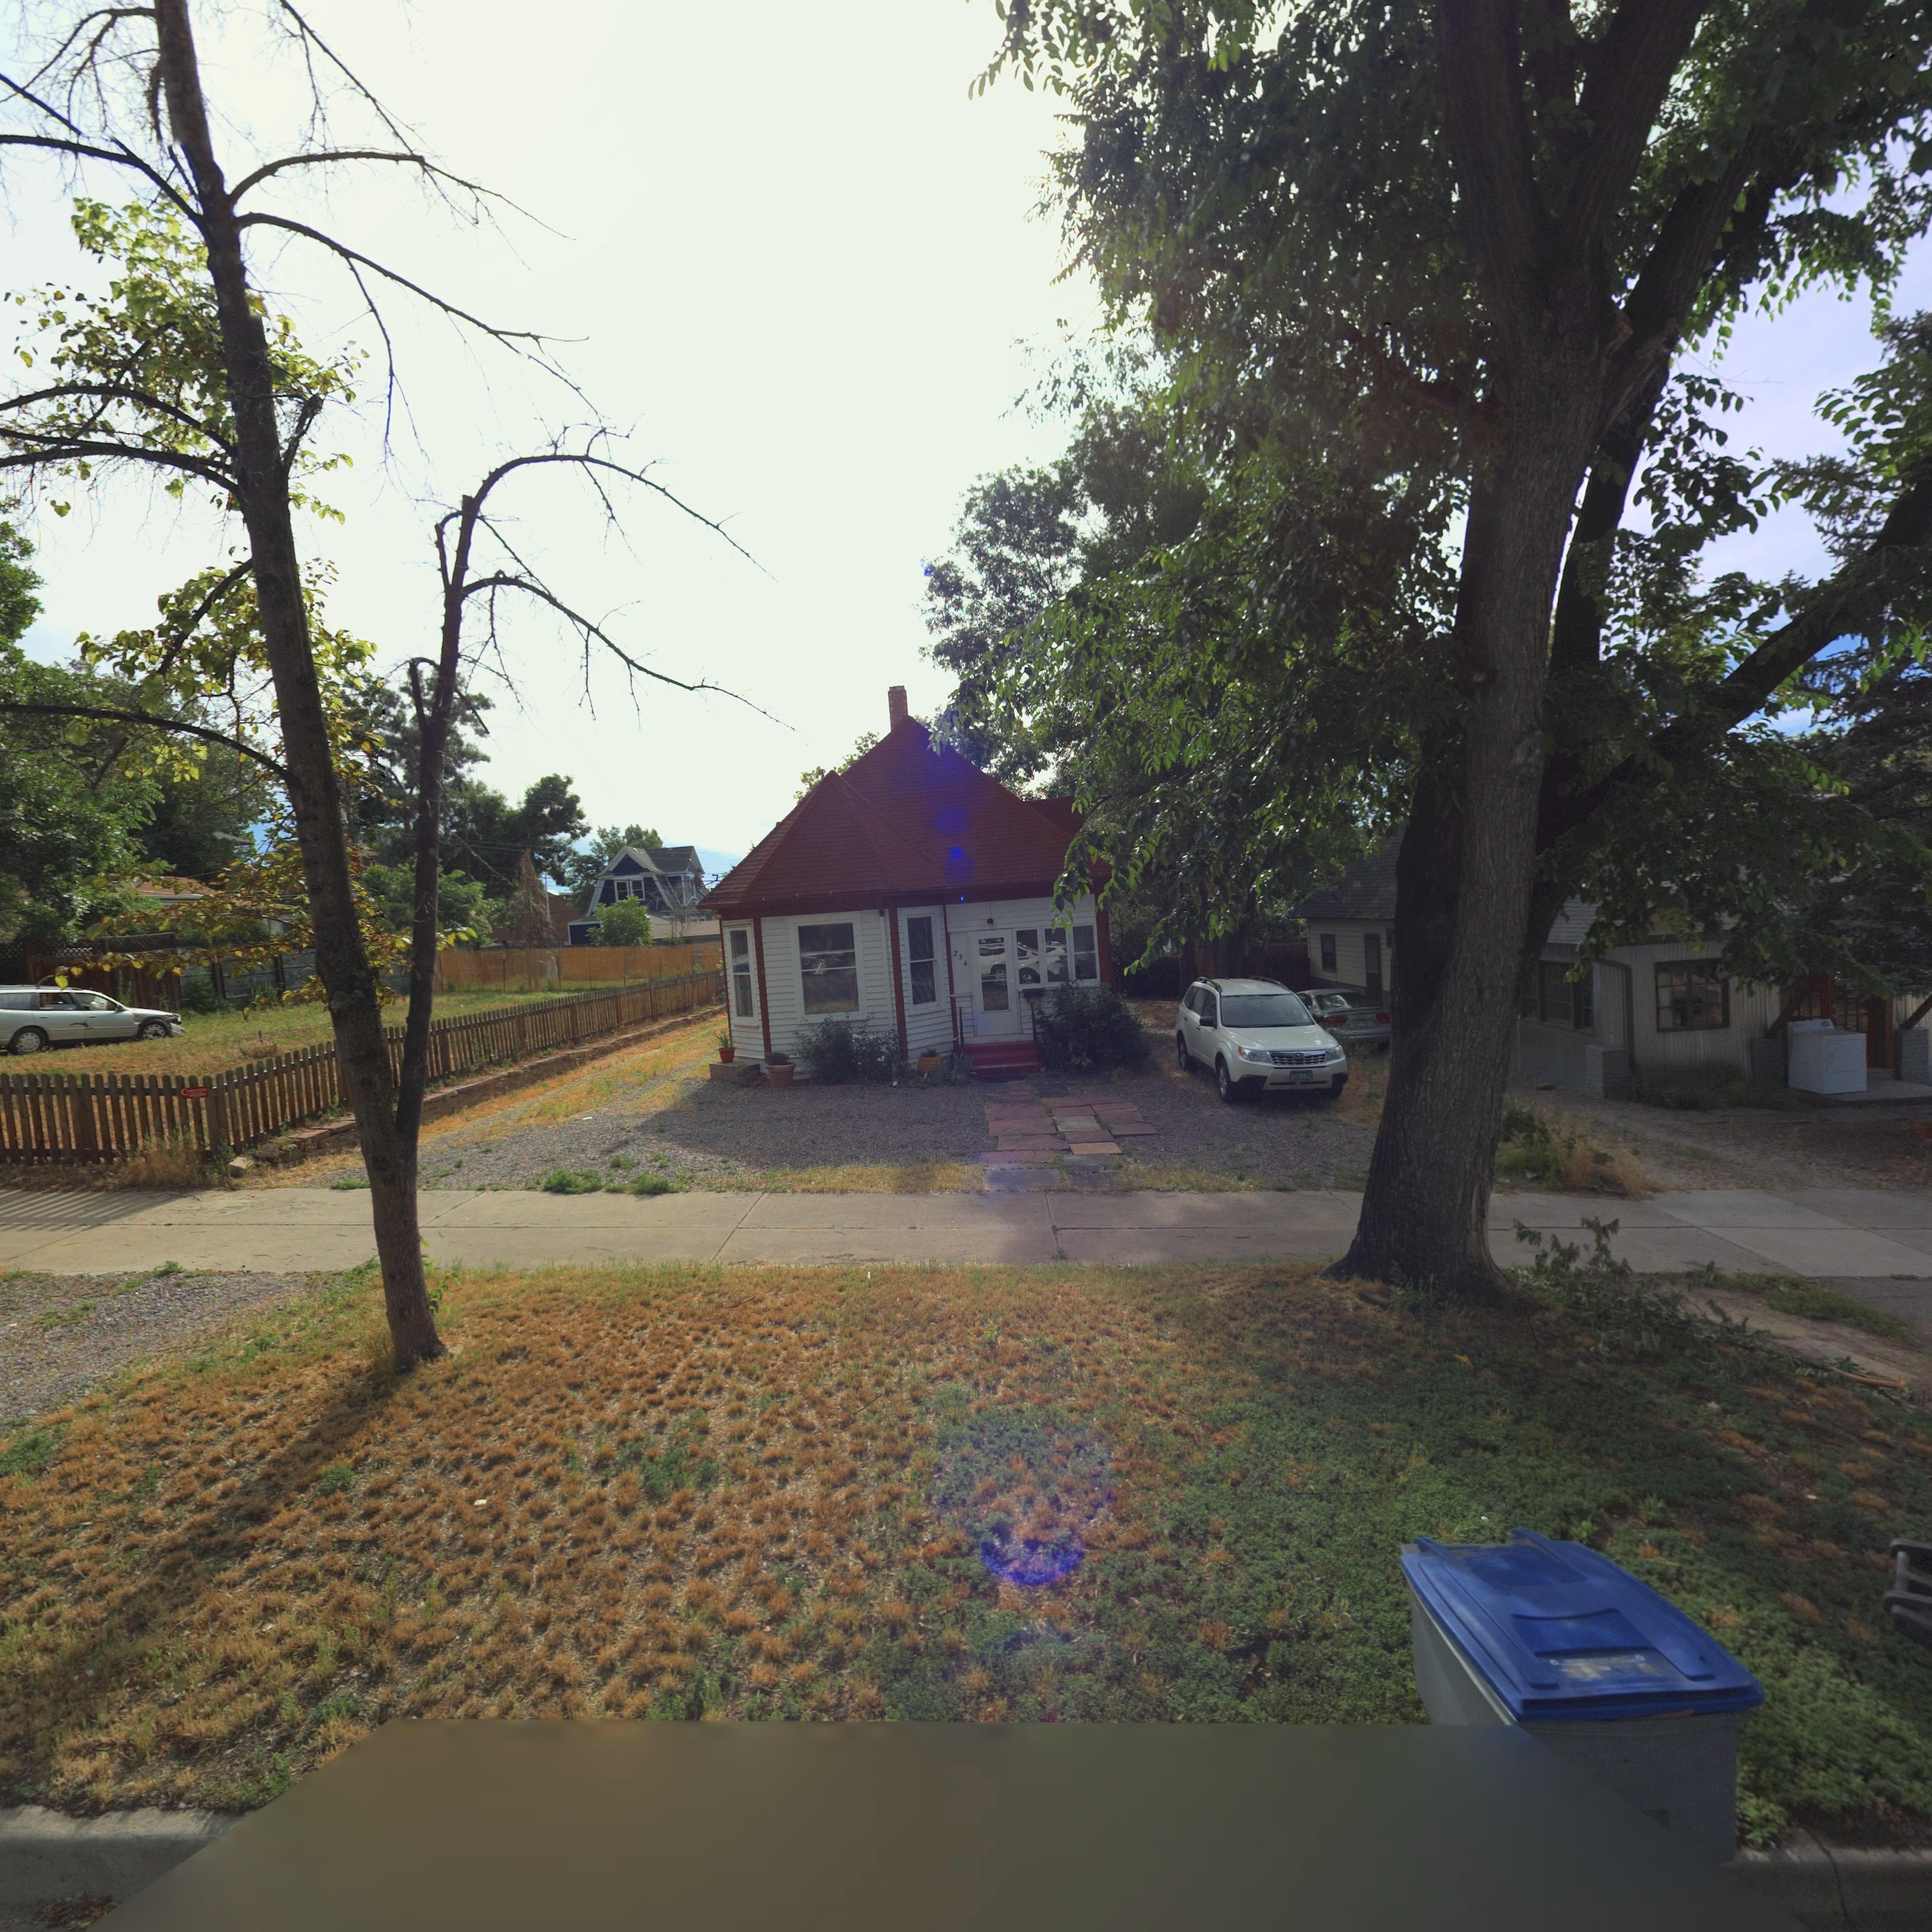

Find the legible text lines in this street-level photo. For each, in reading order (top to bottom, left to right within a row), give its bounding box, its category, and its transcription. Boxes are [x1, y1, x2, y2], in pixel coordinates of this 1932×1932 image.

[952, 949, 968, 967] StreetNumber: 234